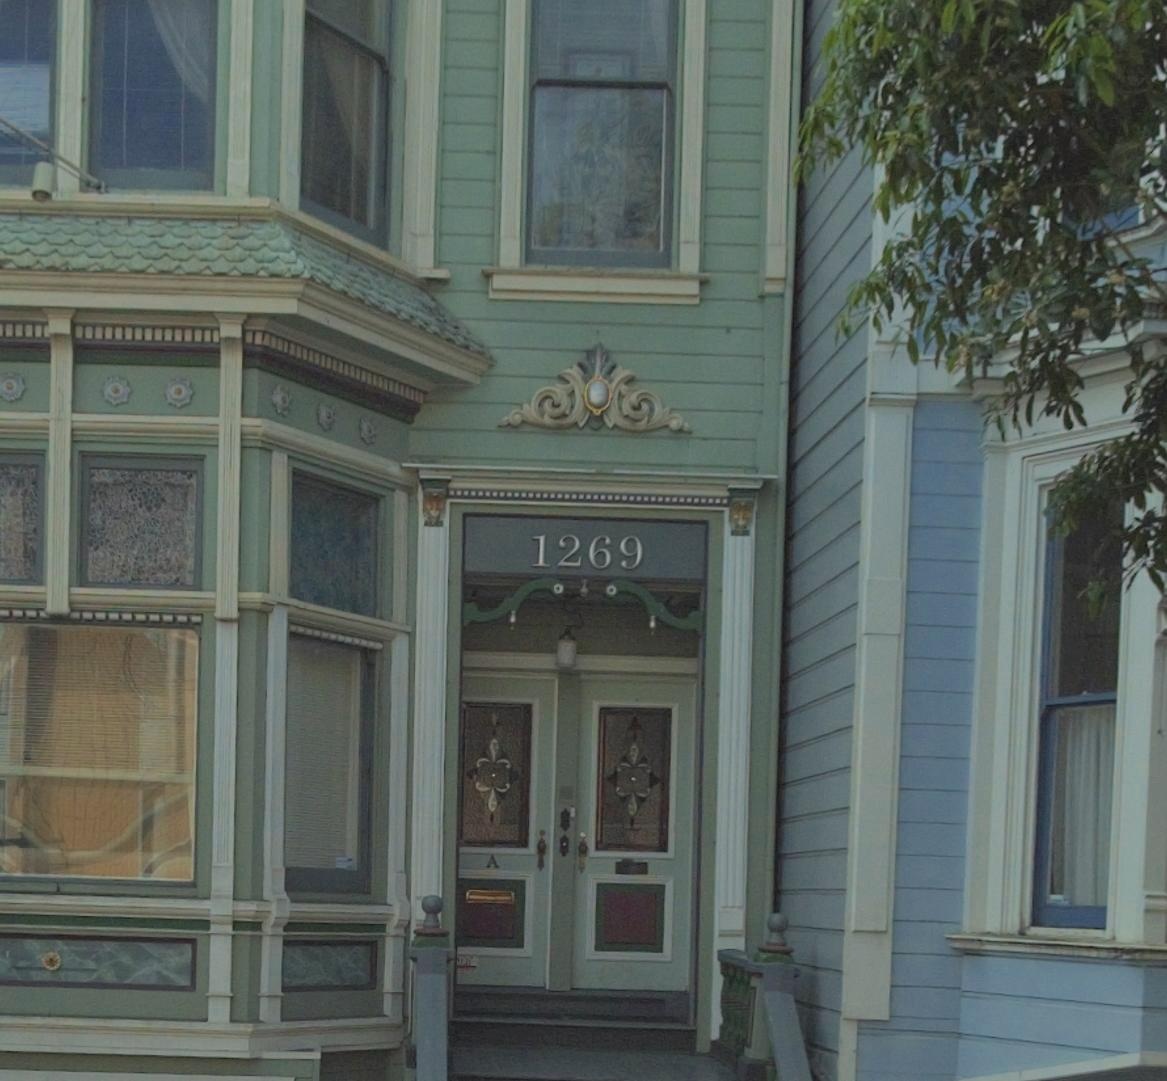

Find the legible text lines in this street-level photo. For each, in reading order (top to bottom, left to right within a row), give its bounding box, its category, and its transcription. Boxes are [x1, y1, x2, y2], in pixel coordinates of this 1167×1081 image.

[530, 531, 646, 573] StreetNumber: 1269